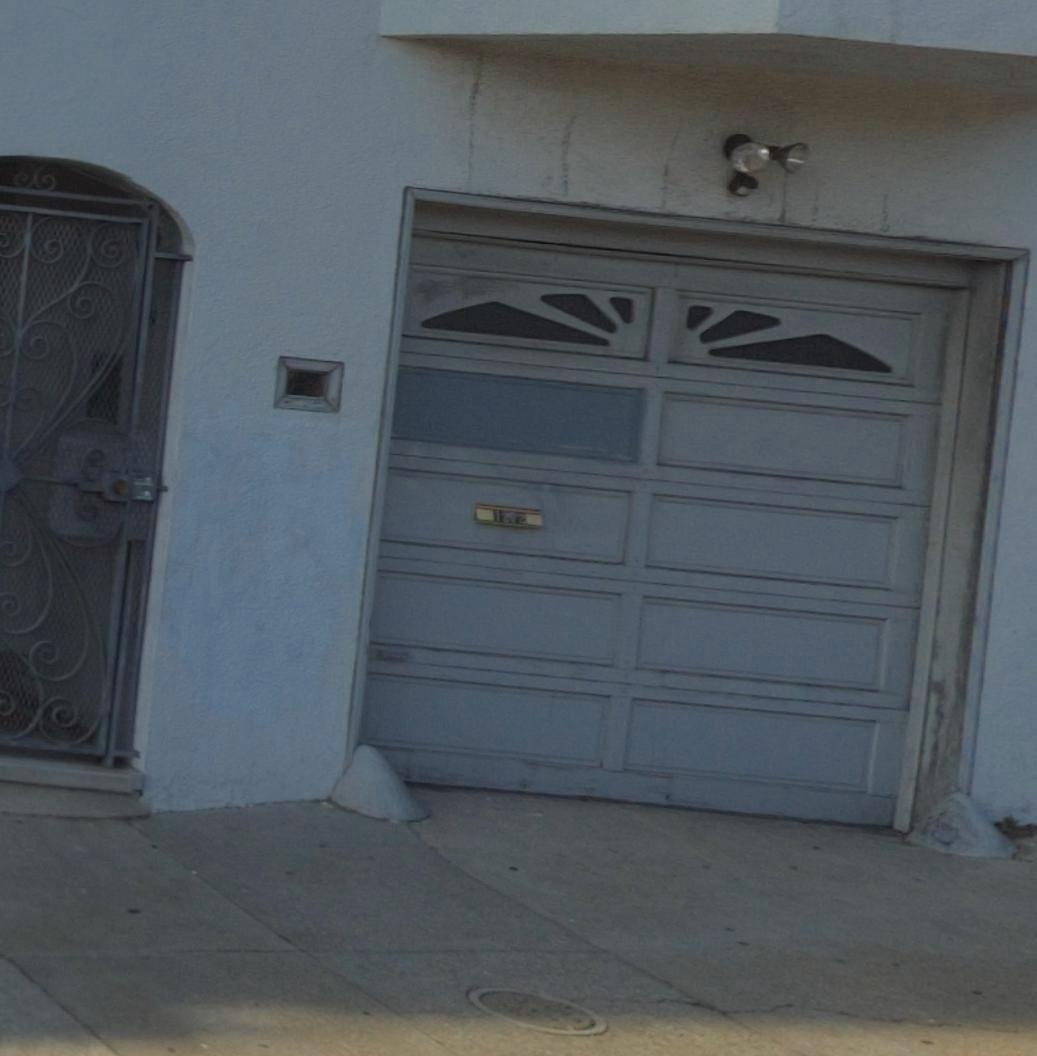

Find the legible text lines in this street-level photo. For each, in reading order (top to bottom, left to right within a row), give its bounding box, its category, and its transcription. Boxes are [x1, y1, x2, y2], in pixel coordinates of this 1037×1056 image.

[490, 506, 528, 528] StreetNumber: 12*2